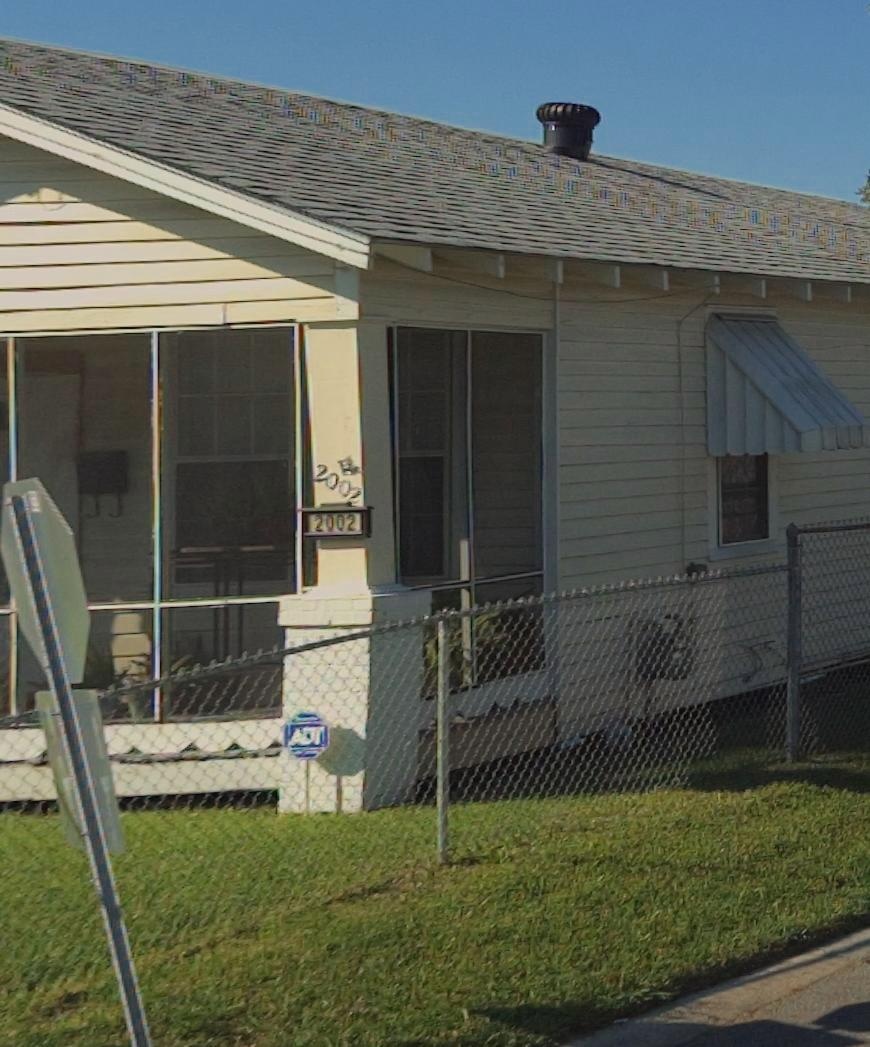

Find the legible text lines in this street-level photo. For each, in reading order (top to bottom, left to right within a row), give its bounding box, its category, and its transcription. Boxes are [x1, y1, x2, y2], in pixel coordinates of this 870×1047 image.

[309, 459, 366, 510] StreetNumber: 2002
[312, 511, 358, 534] StreetNumber: 2002
[284, 725, 327, 748] None: ADT